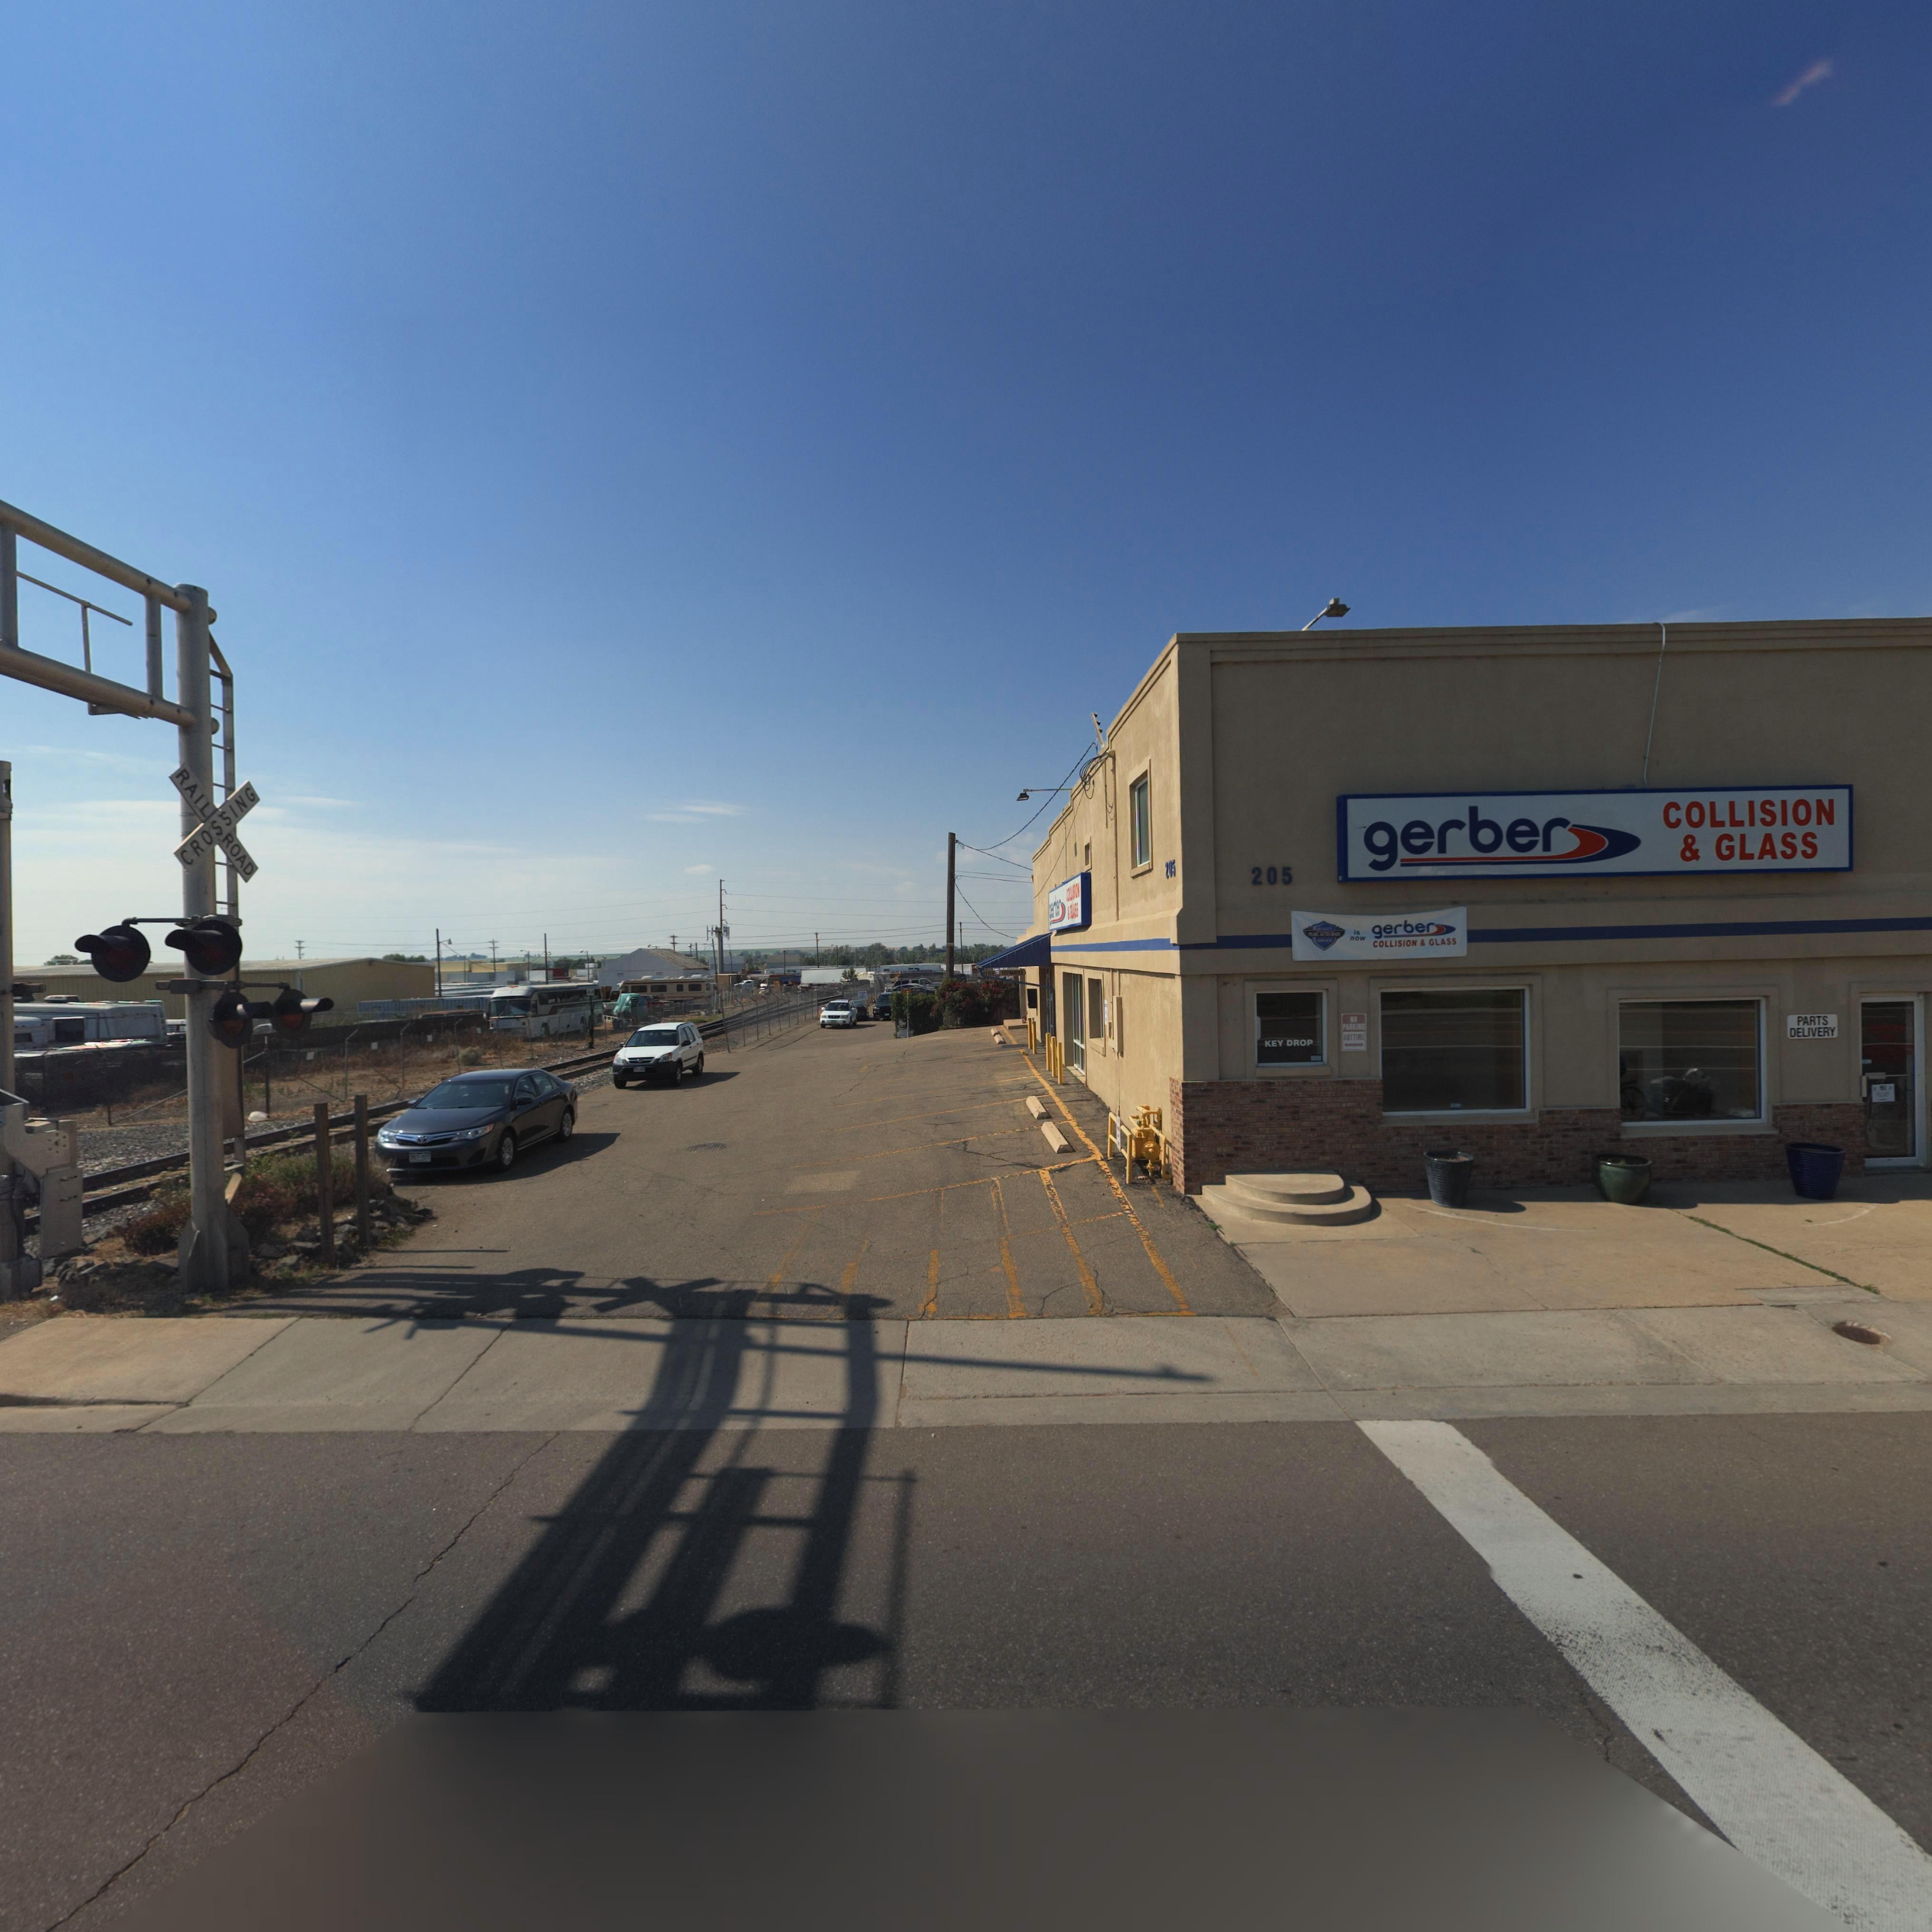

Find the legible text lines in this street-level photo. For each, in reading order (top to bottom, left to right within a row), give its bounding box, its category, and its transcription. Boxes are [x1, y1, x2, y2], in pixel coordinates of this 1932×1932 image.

[1661, 797, 1835, 830] BusinessName: COLLISION
[1360, 802, 1575, 874] BusinessName: gerber
[1678, 831, 1819, 863] BusinessName: & GLASS
[1164, 858, 1177, 879] StreetNumber: 205
[1250, 866, 1295, 887] StreetNumber: 205
[1047, 894, 1062, 927] BusinessName: *er*e*
[1069, 901, 1078, 919] BusinessName: ***SS
[1371, 919, 1437, 940] BusinessName: gerber
[1372, 937, 1457, 948] BusinessName: COLLISION & GLASS